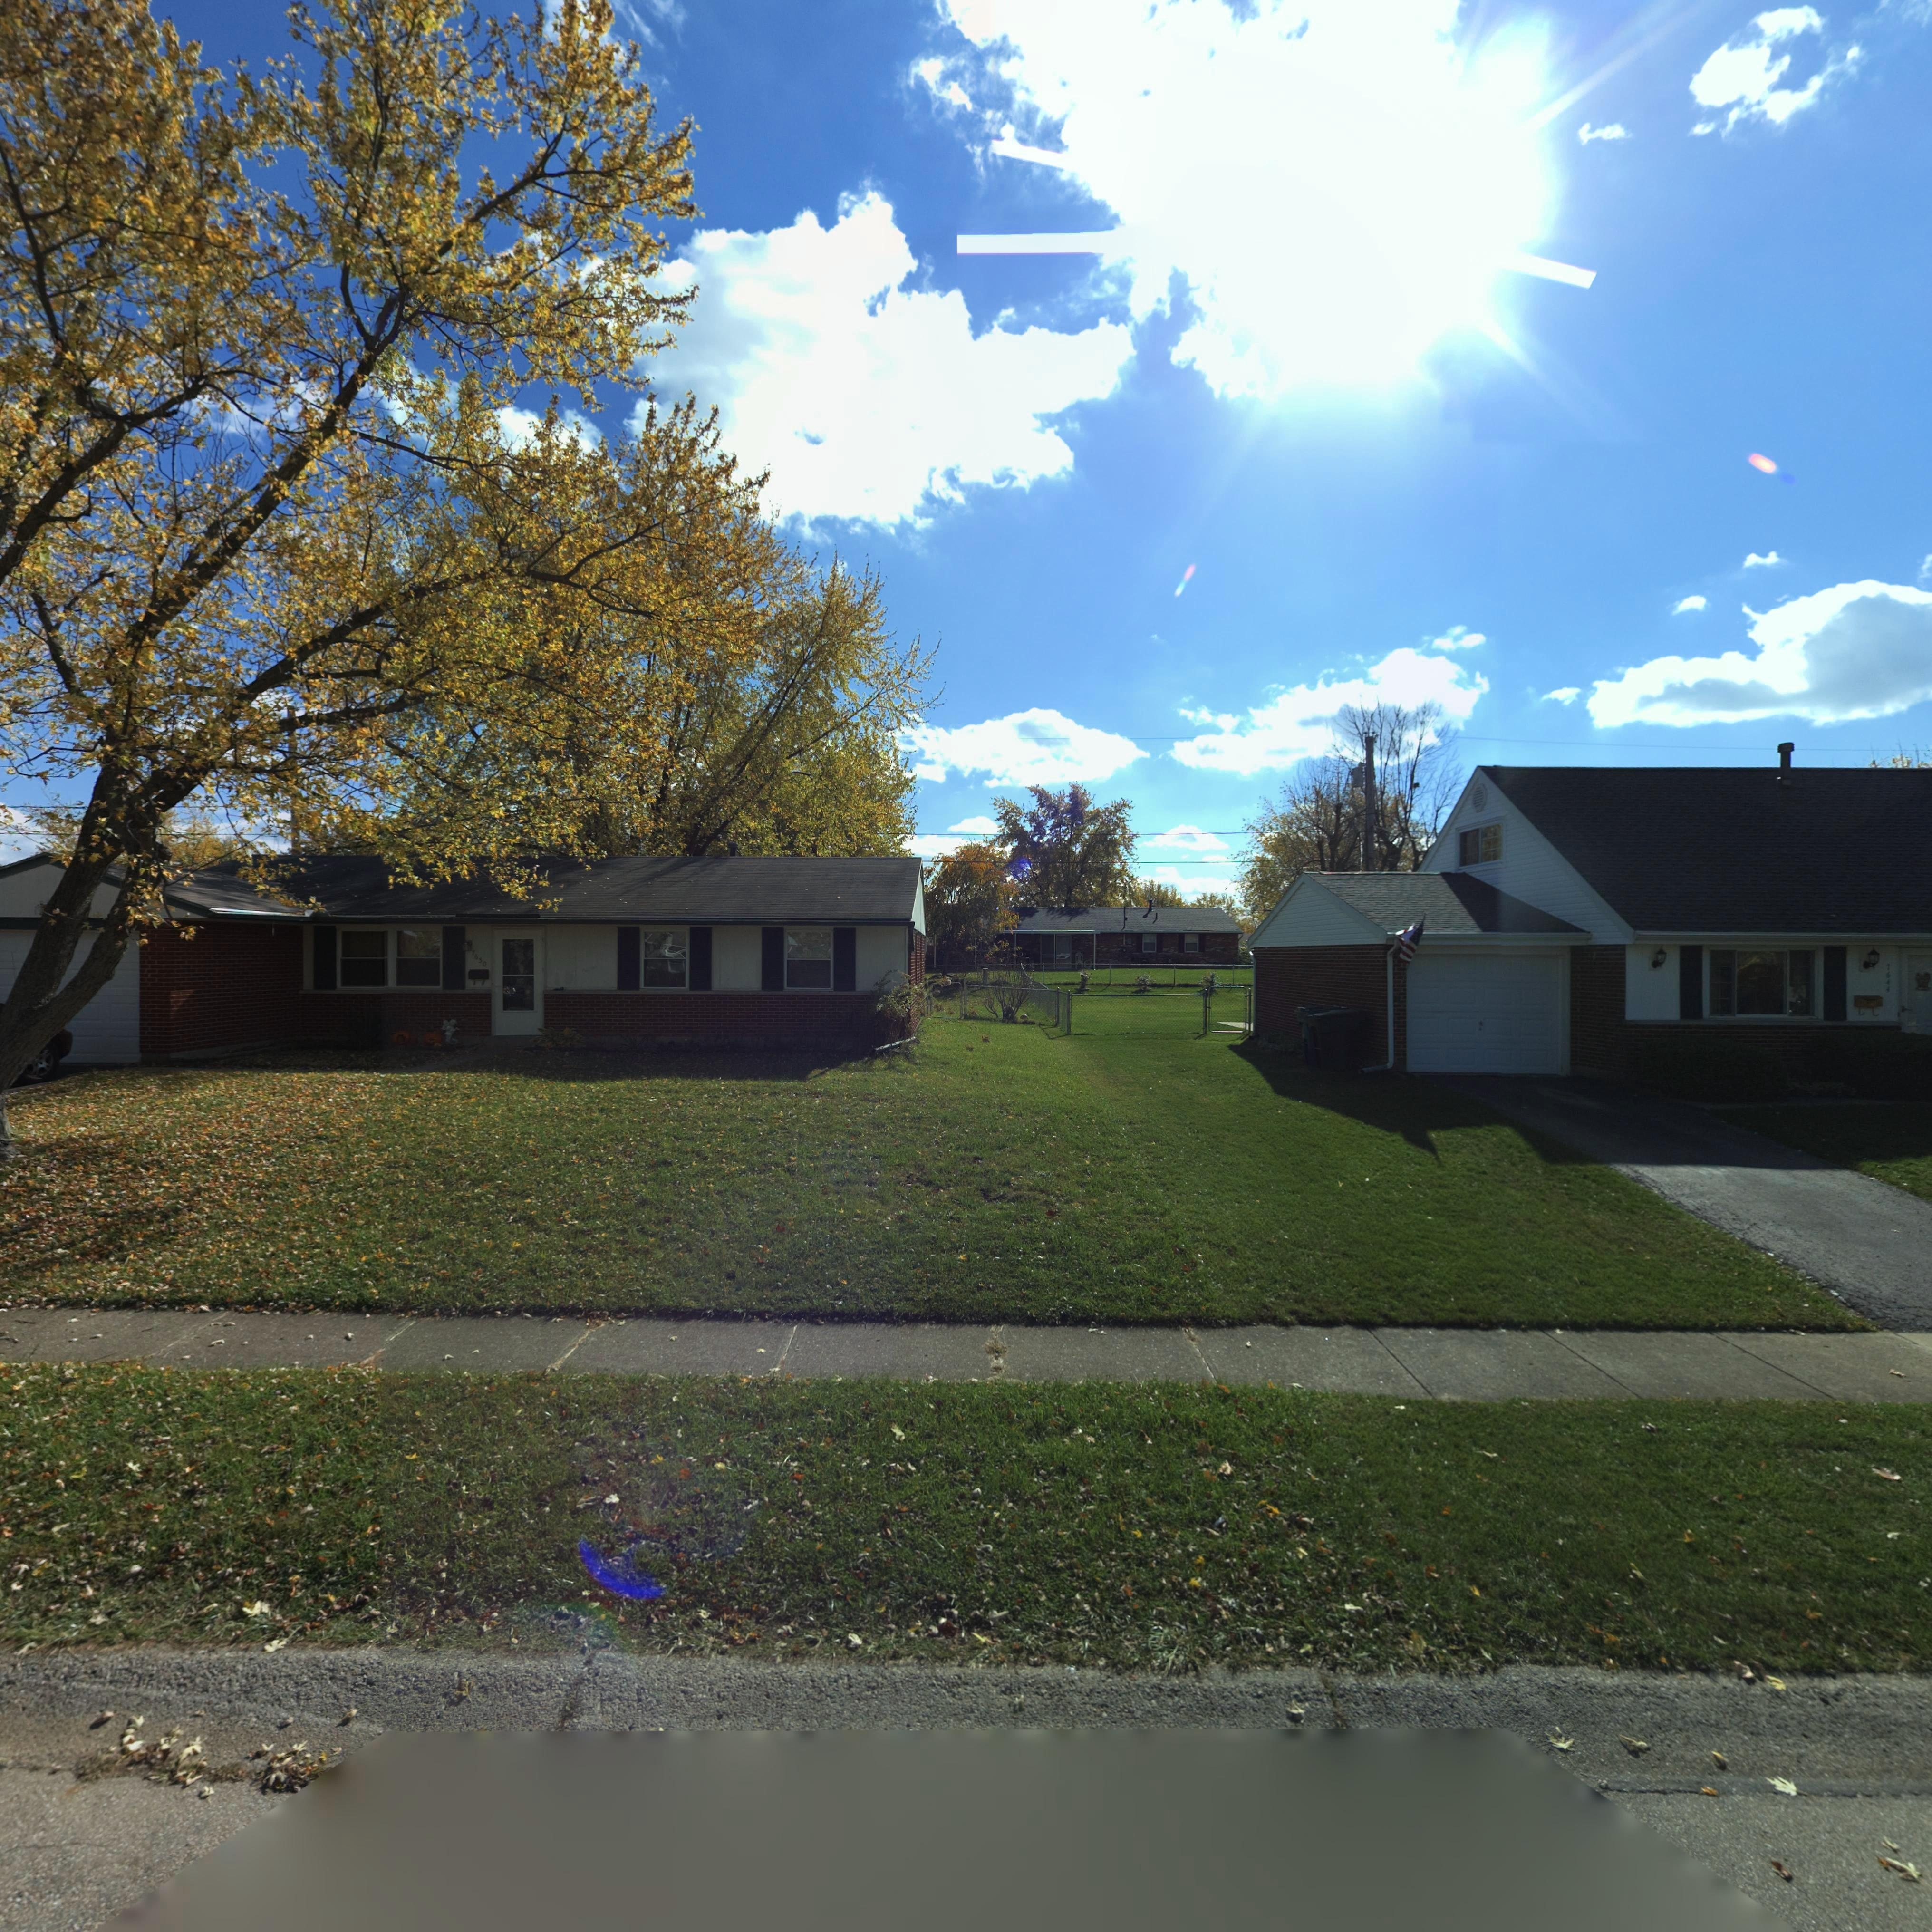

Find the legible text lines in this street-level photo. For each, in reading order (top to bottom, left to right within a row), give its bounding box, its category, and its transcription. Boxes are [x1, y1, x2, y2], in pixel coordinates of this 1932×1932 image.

[471, 949, 487, 967] StreetNumber: 7650
[1885, 962, 1891, 993] StreetNumber: 7644